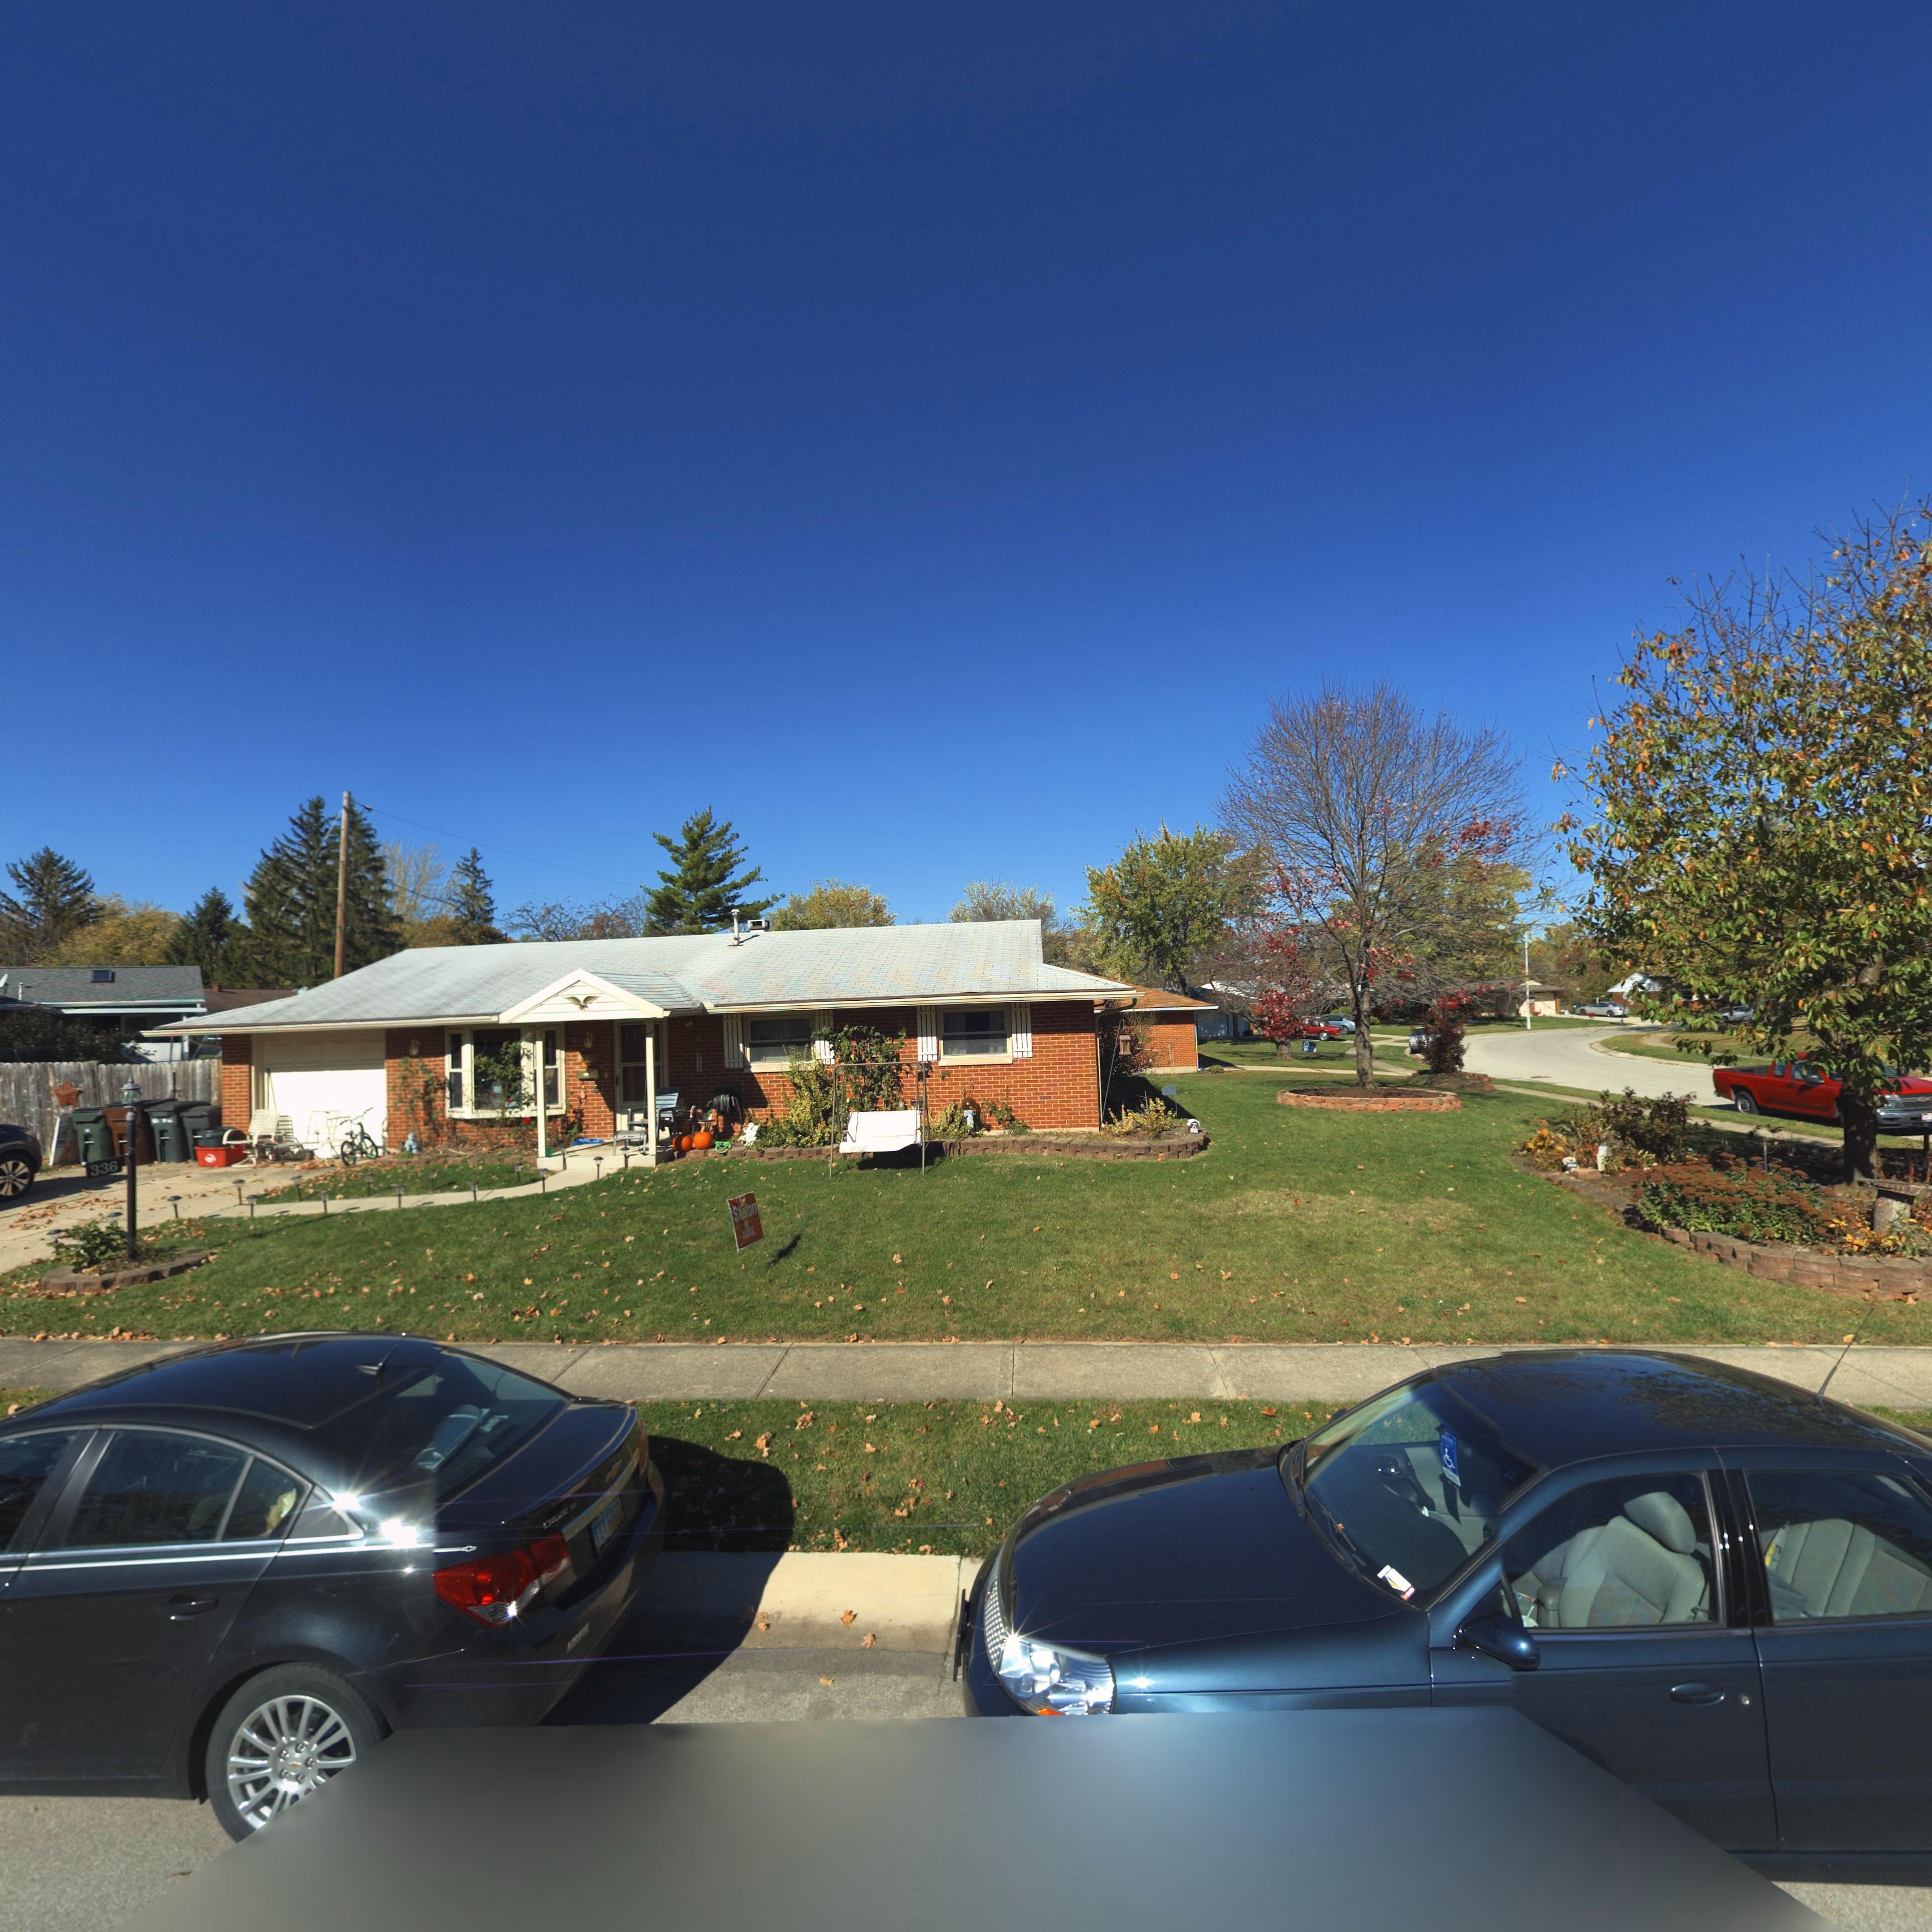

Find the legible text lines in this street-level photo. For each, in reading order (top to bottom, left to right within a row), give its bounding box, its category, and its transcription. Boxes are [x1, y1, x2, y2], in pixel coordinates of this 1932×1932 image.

[89, 1159, 120, 1179] StreetNumber: 336